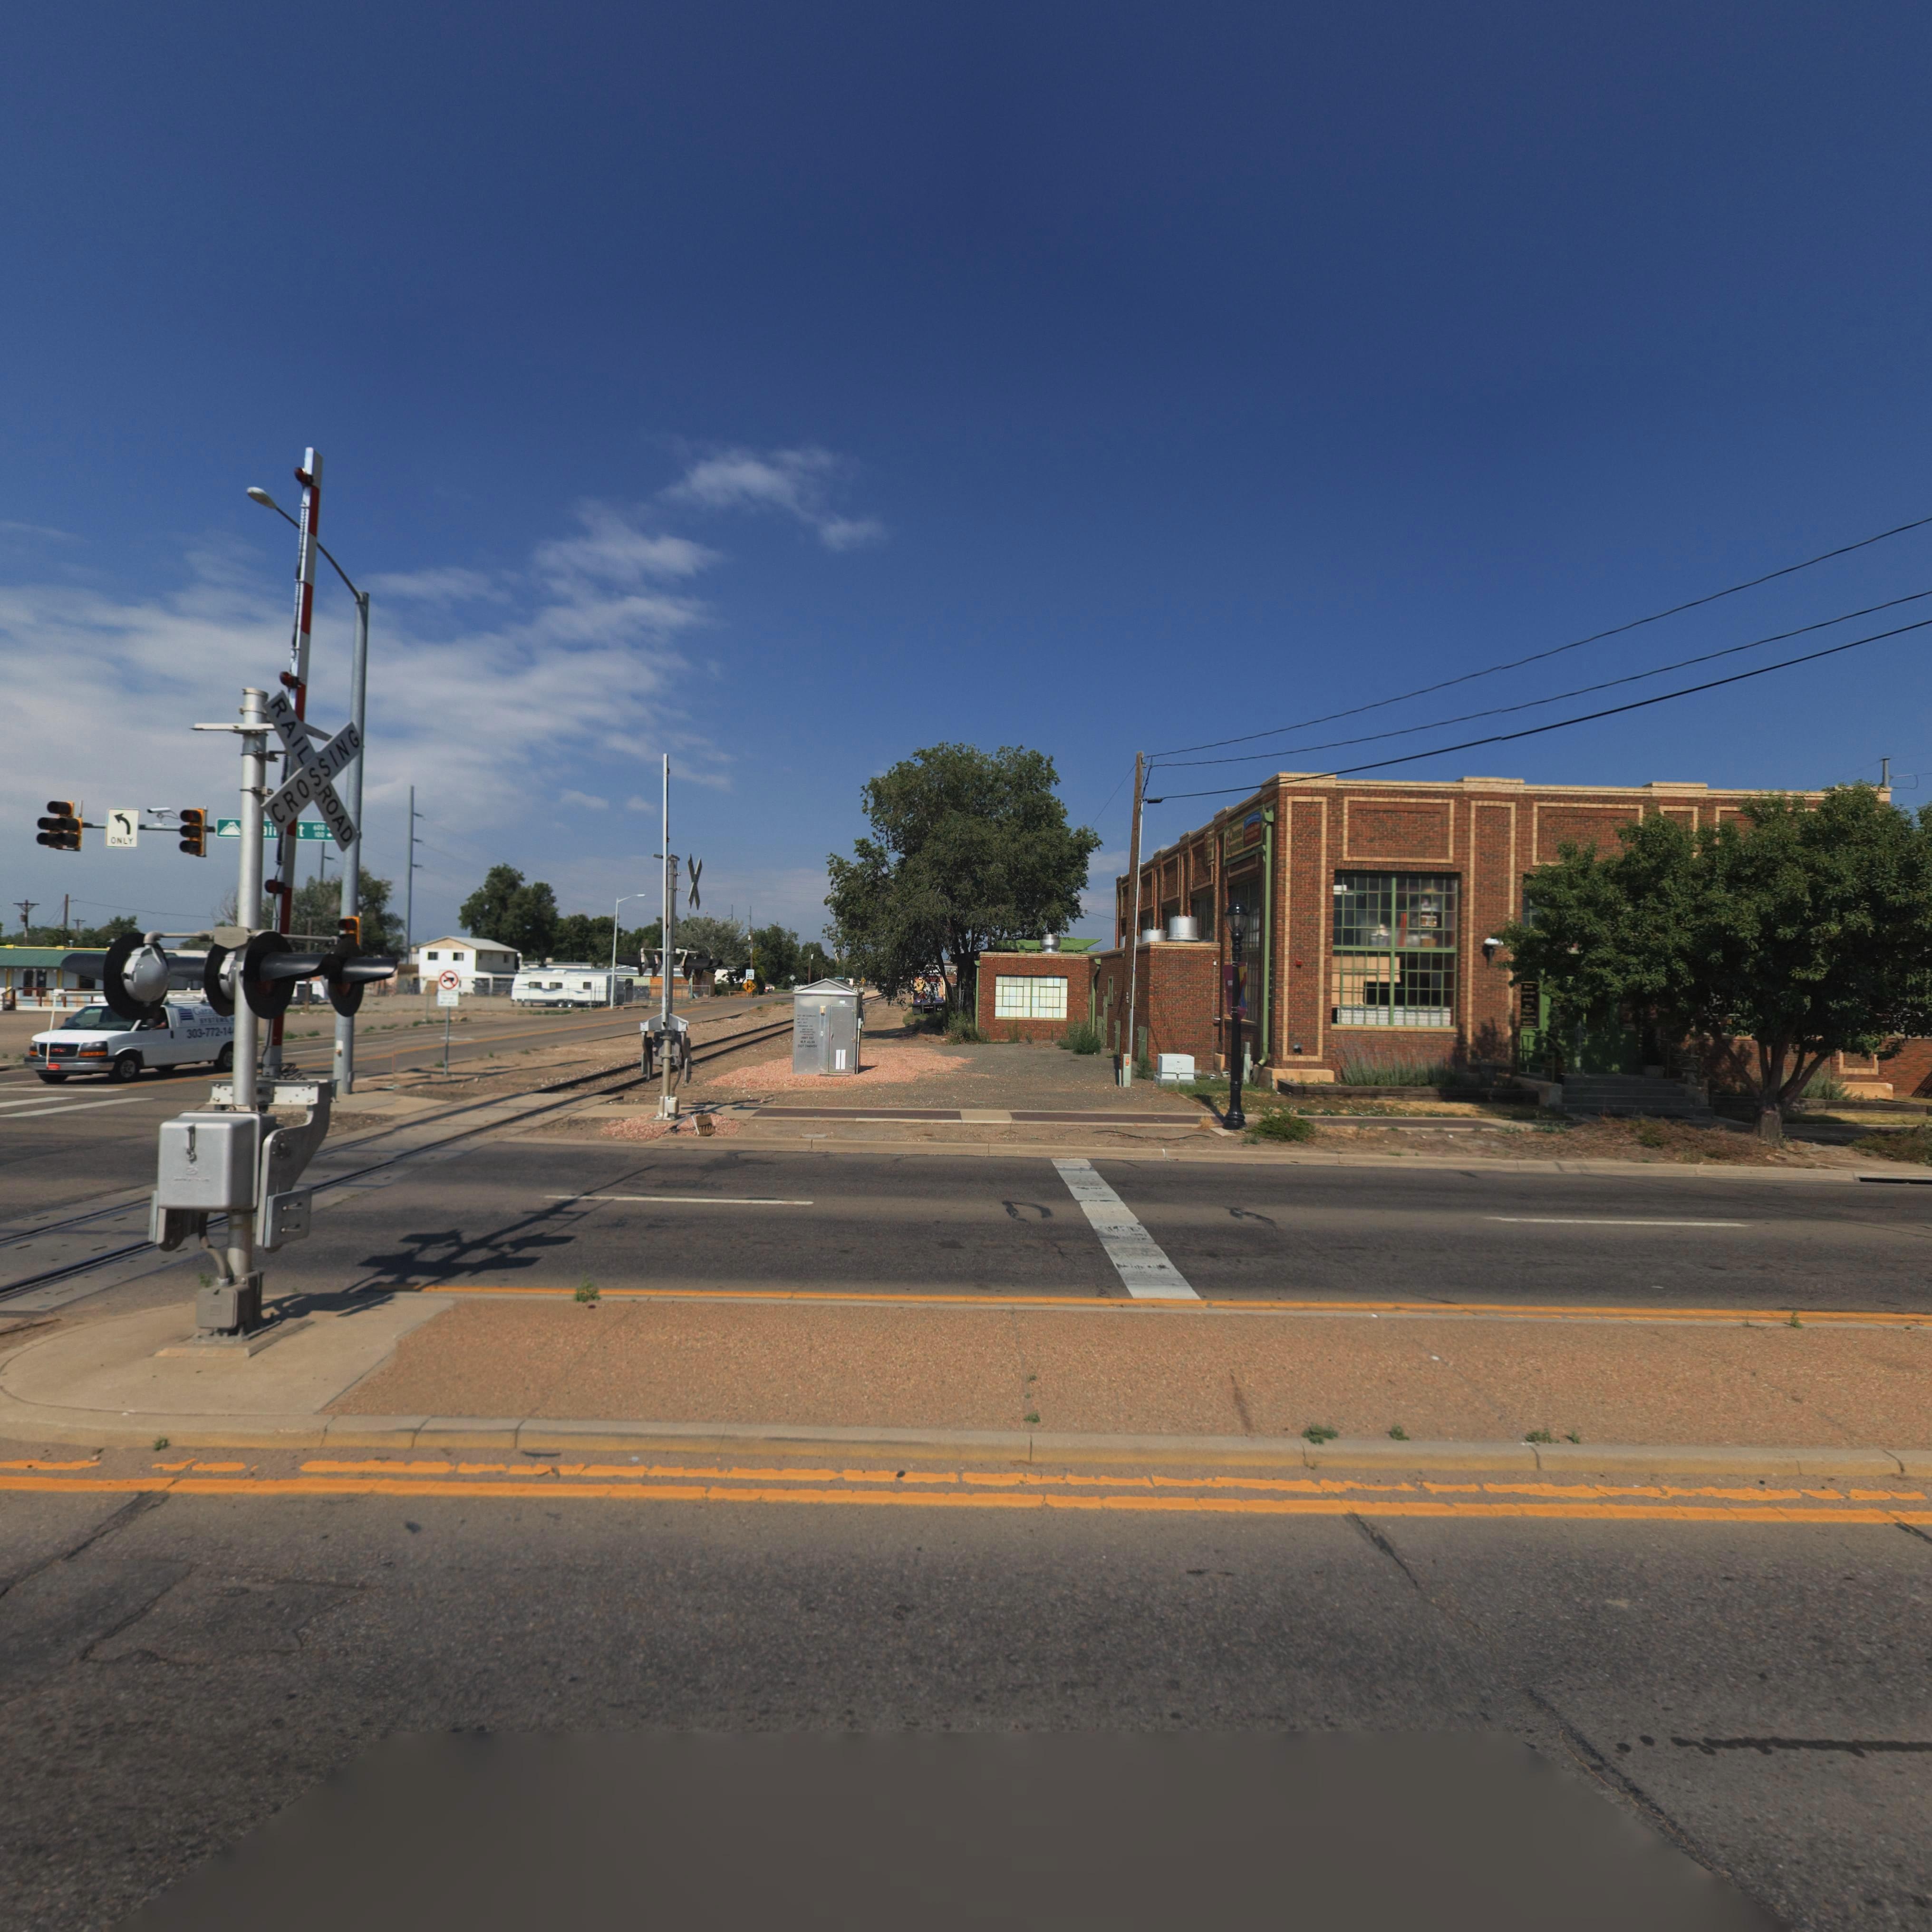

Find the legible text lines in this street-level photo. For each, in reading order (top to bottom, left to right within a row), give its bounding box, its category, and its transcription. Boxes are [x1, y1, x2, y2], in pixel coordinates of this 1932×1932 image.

[259, 822, 305, 837] StreetName: *in *t
[312, 824, 325, 830] StreetNumberRange: 600
[314, 831, 333, 837] StreetNumberRange: *00 ->
[1228, 827, 1243, 843] BusinessName: Cheese
[1225, 839, 1244, 857] None: Imp******